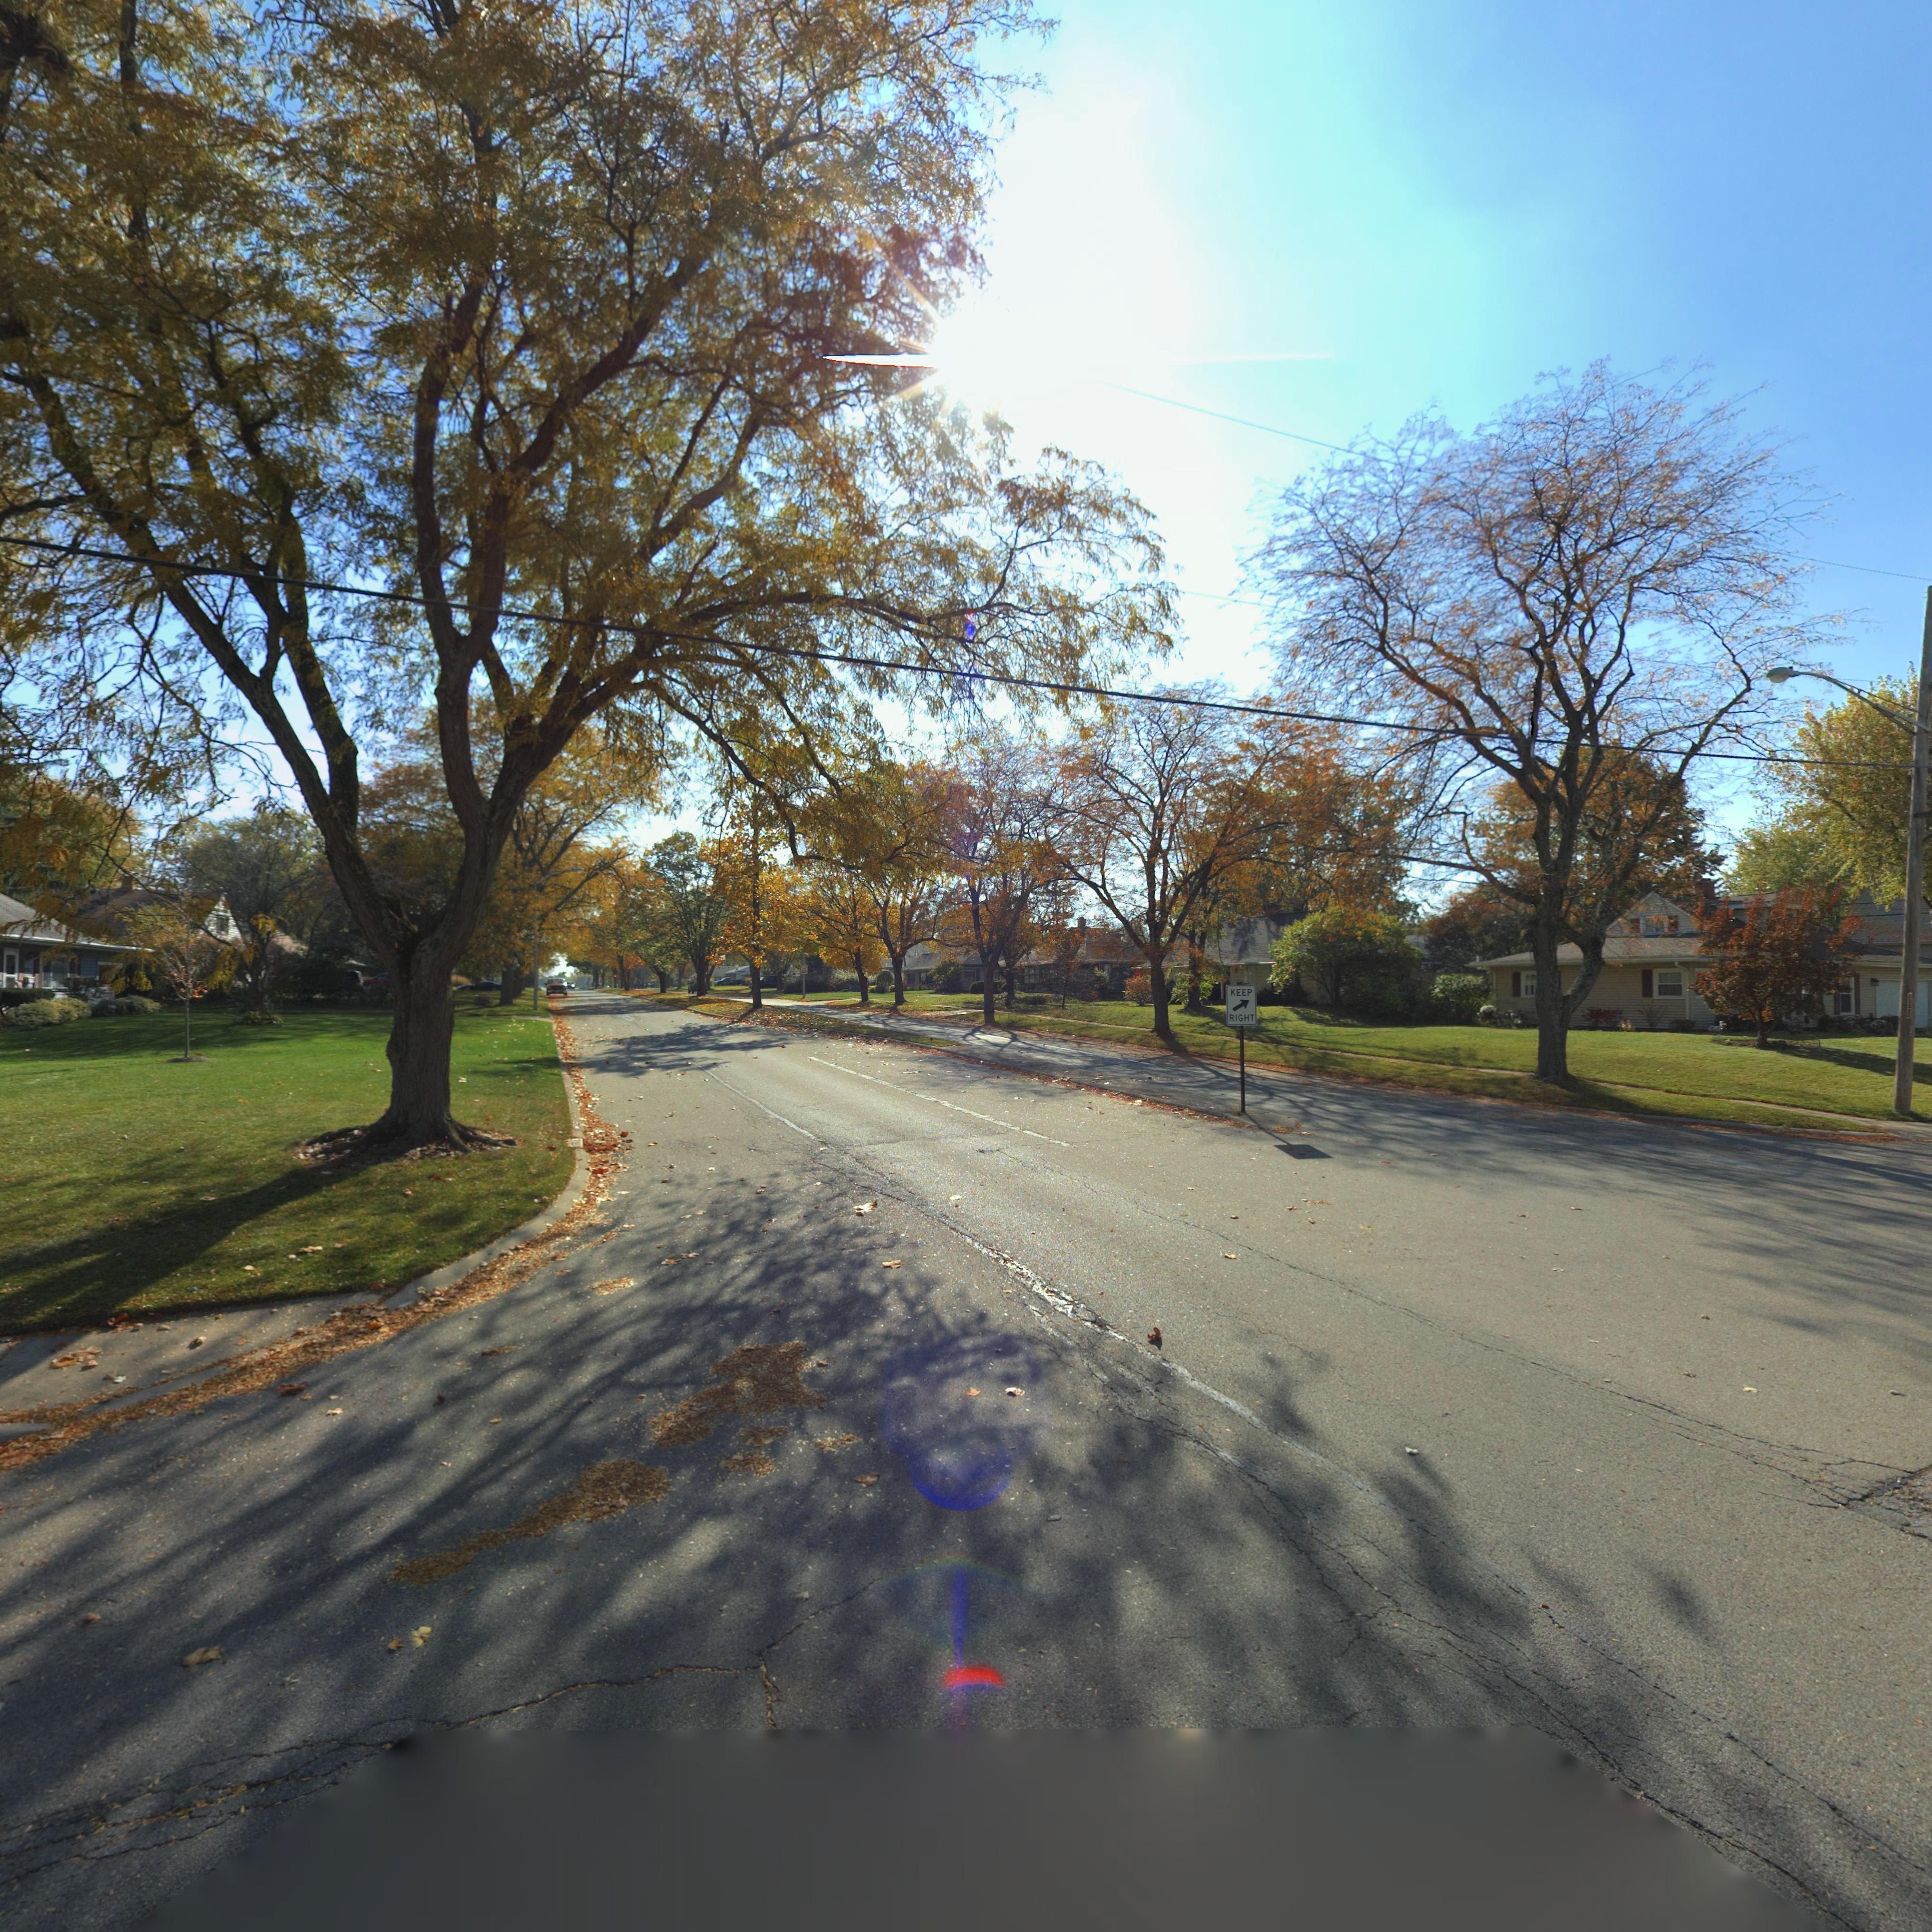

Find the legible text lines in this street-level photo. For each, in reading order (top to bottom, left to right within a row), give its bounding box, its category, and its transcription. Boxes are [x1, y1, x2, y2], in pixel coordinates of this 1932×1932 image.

[1229, 988, 1253, 997] None: KEEP
[1228, 1013, 1256, 1023] None: RIGHT